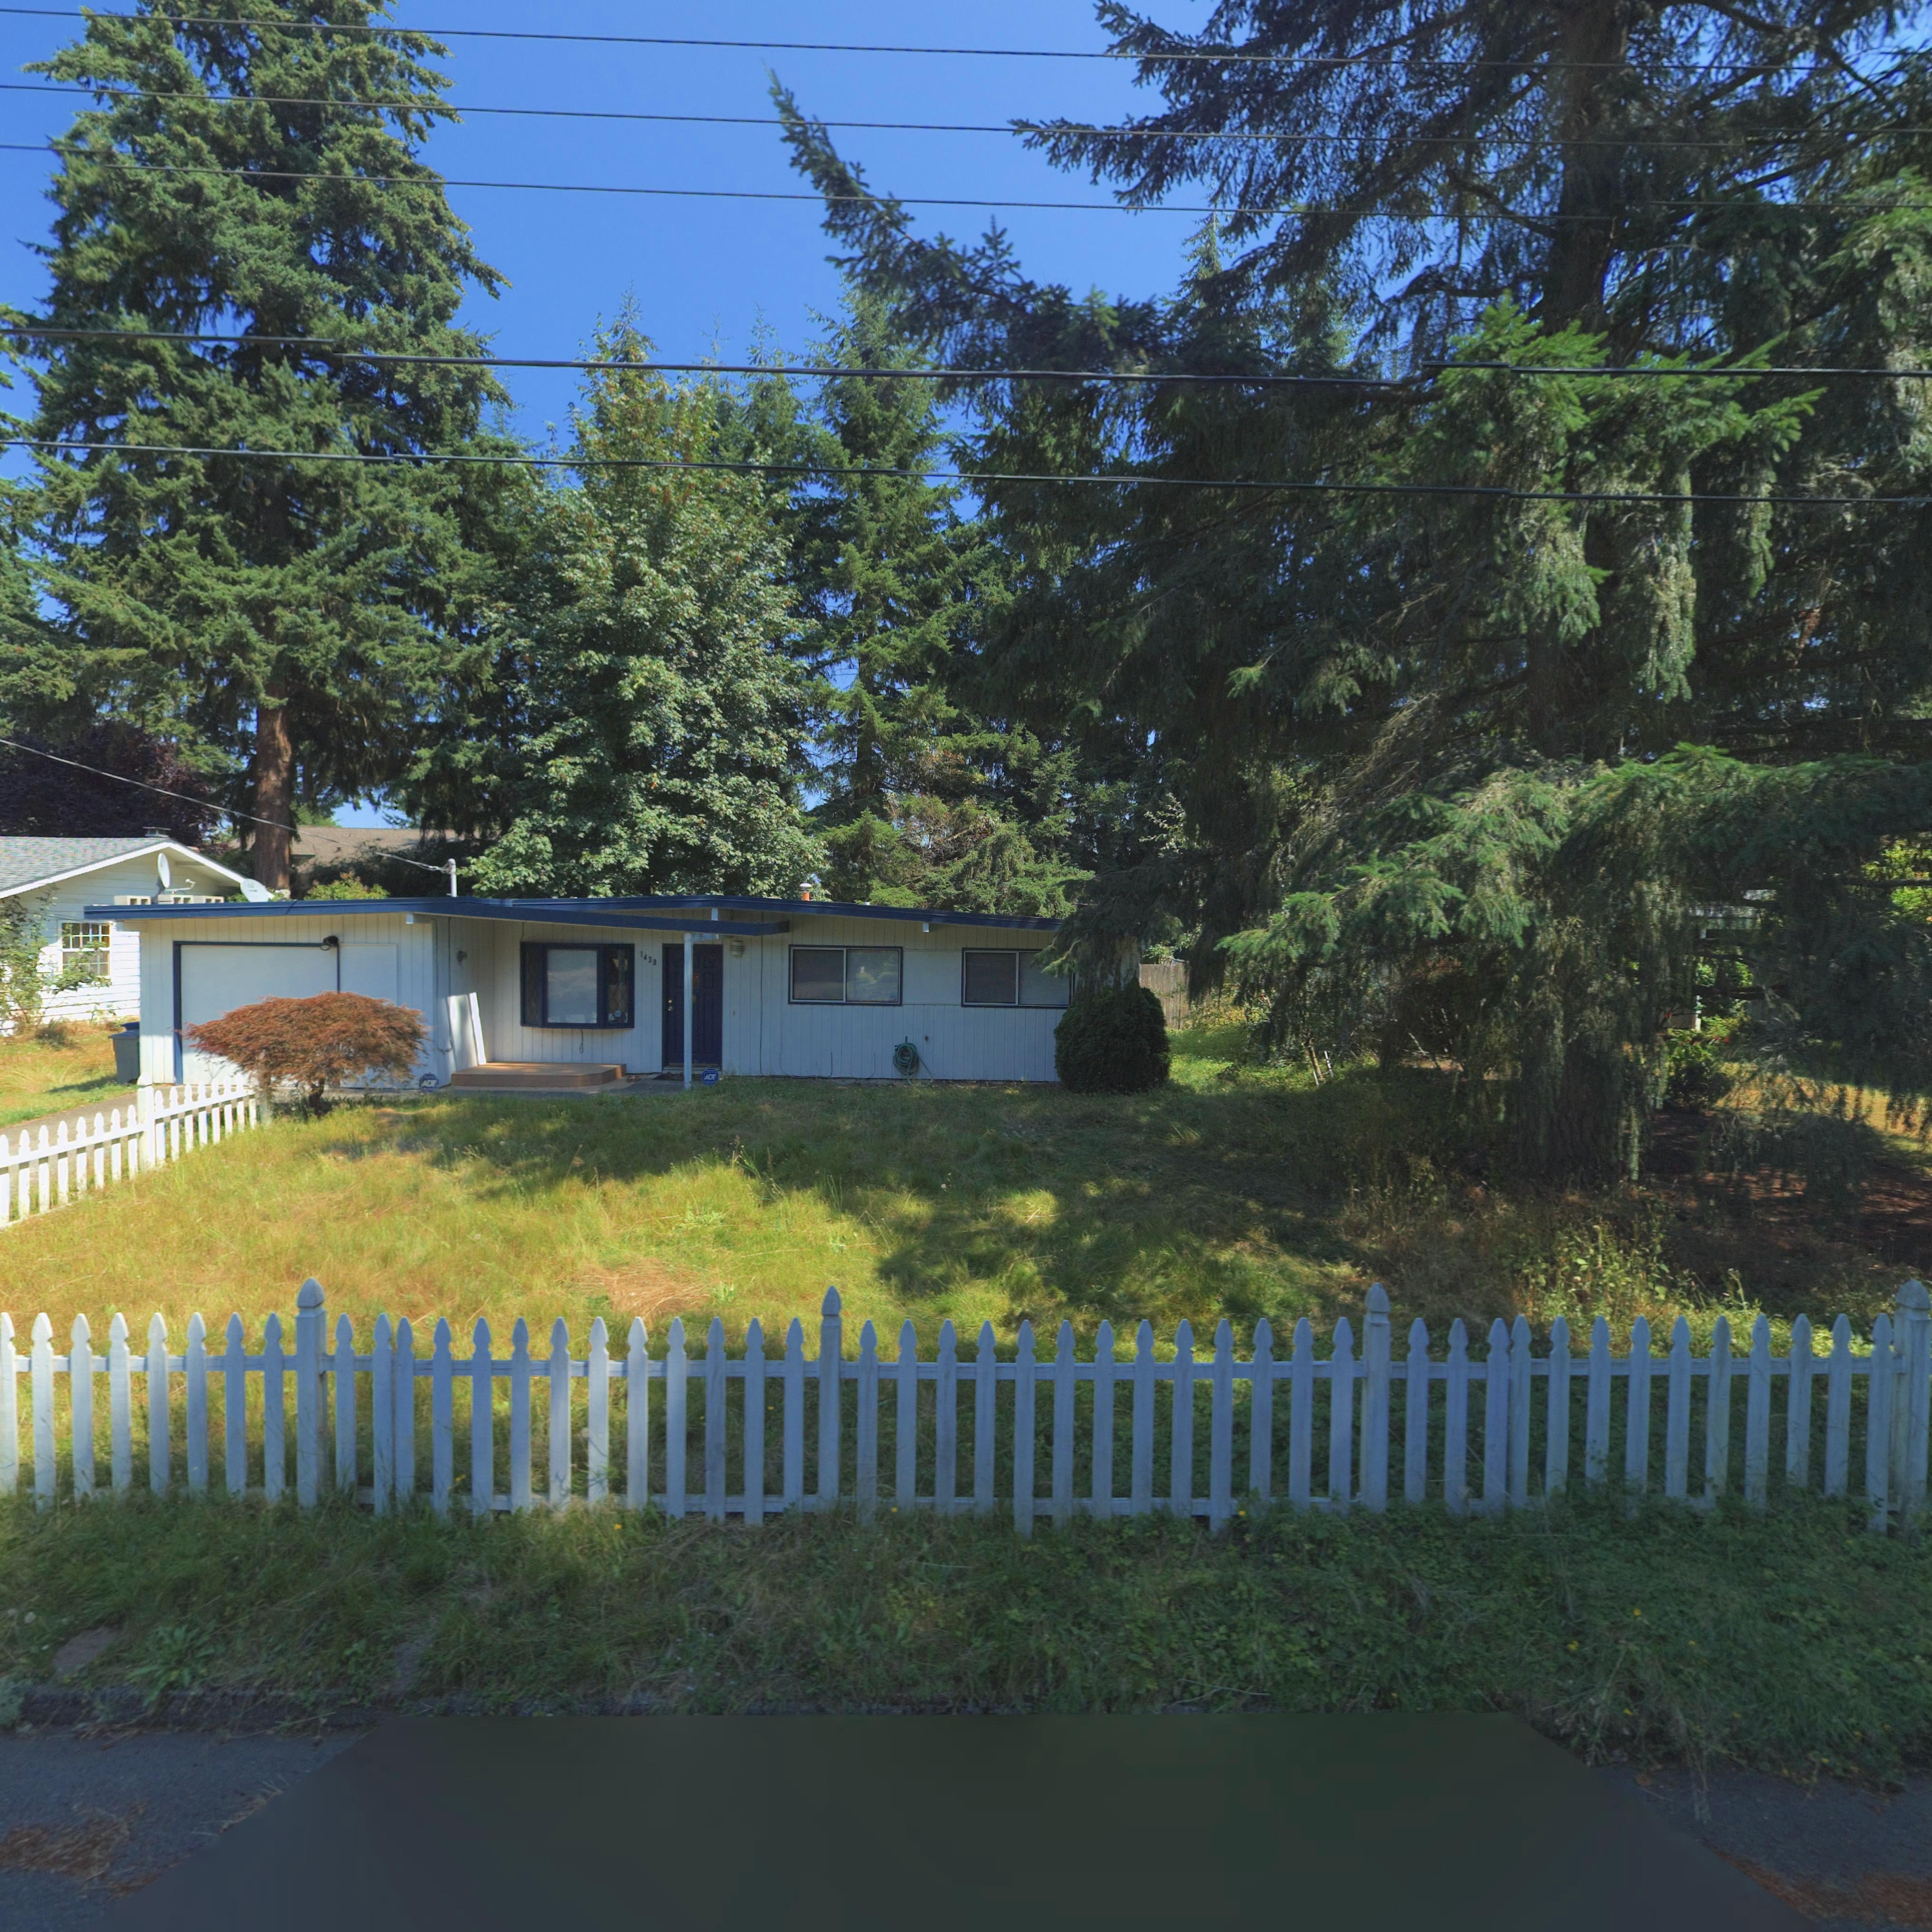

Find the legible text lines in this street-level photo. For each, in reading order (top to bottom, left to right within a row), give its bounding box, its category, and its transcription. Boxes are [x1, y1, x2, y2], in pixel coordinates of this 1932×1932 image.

[640, 949, 657, 966] StreetNumber: 1438